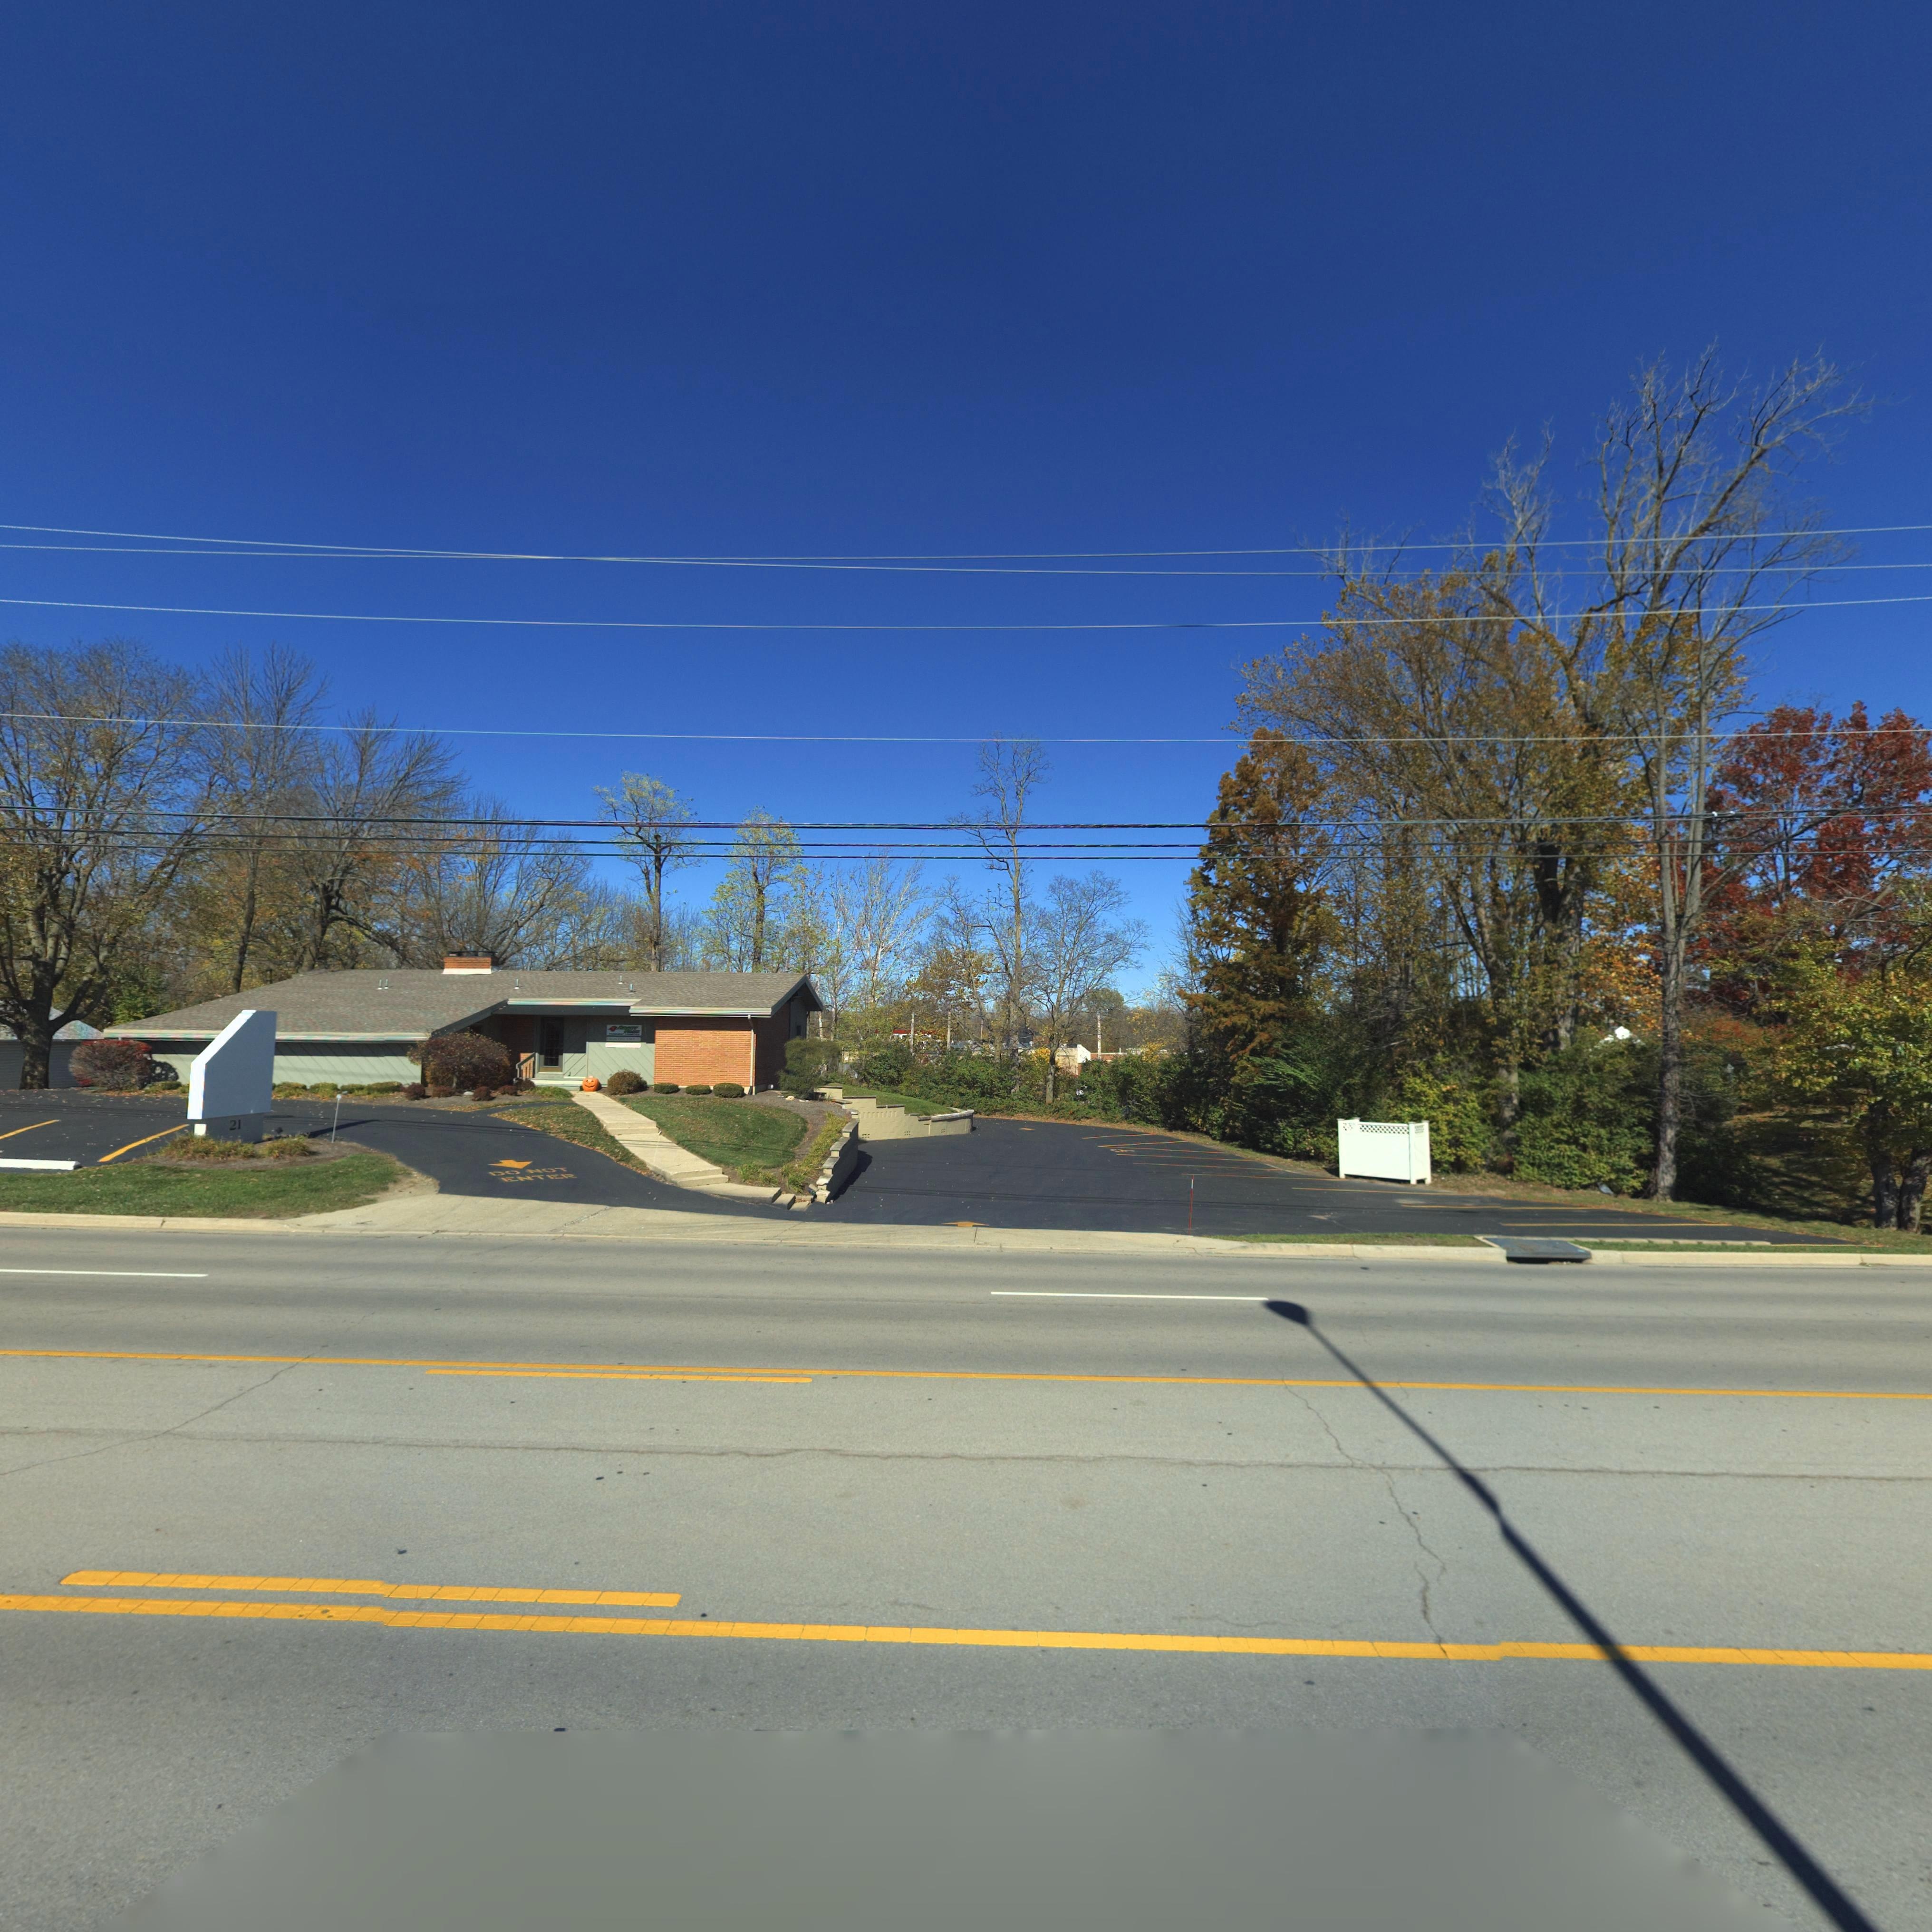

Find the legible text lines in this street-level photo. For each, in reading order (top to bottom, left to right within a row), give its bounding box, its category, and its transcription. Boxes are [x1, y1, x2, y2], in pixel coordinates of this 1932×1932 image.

[229, 1119, 242, 1131] StreetNumber: 21